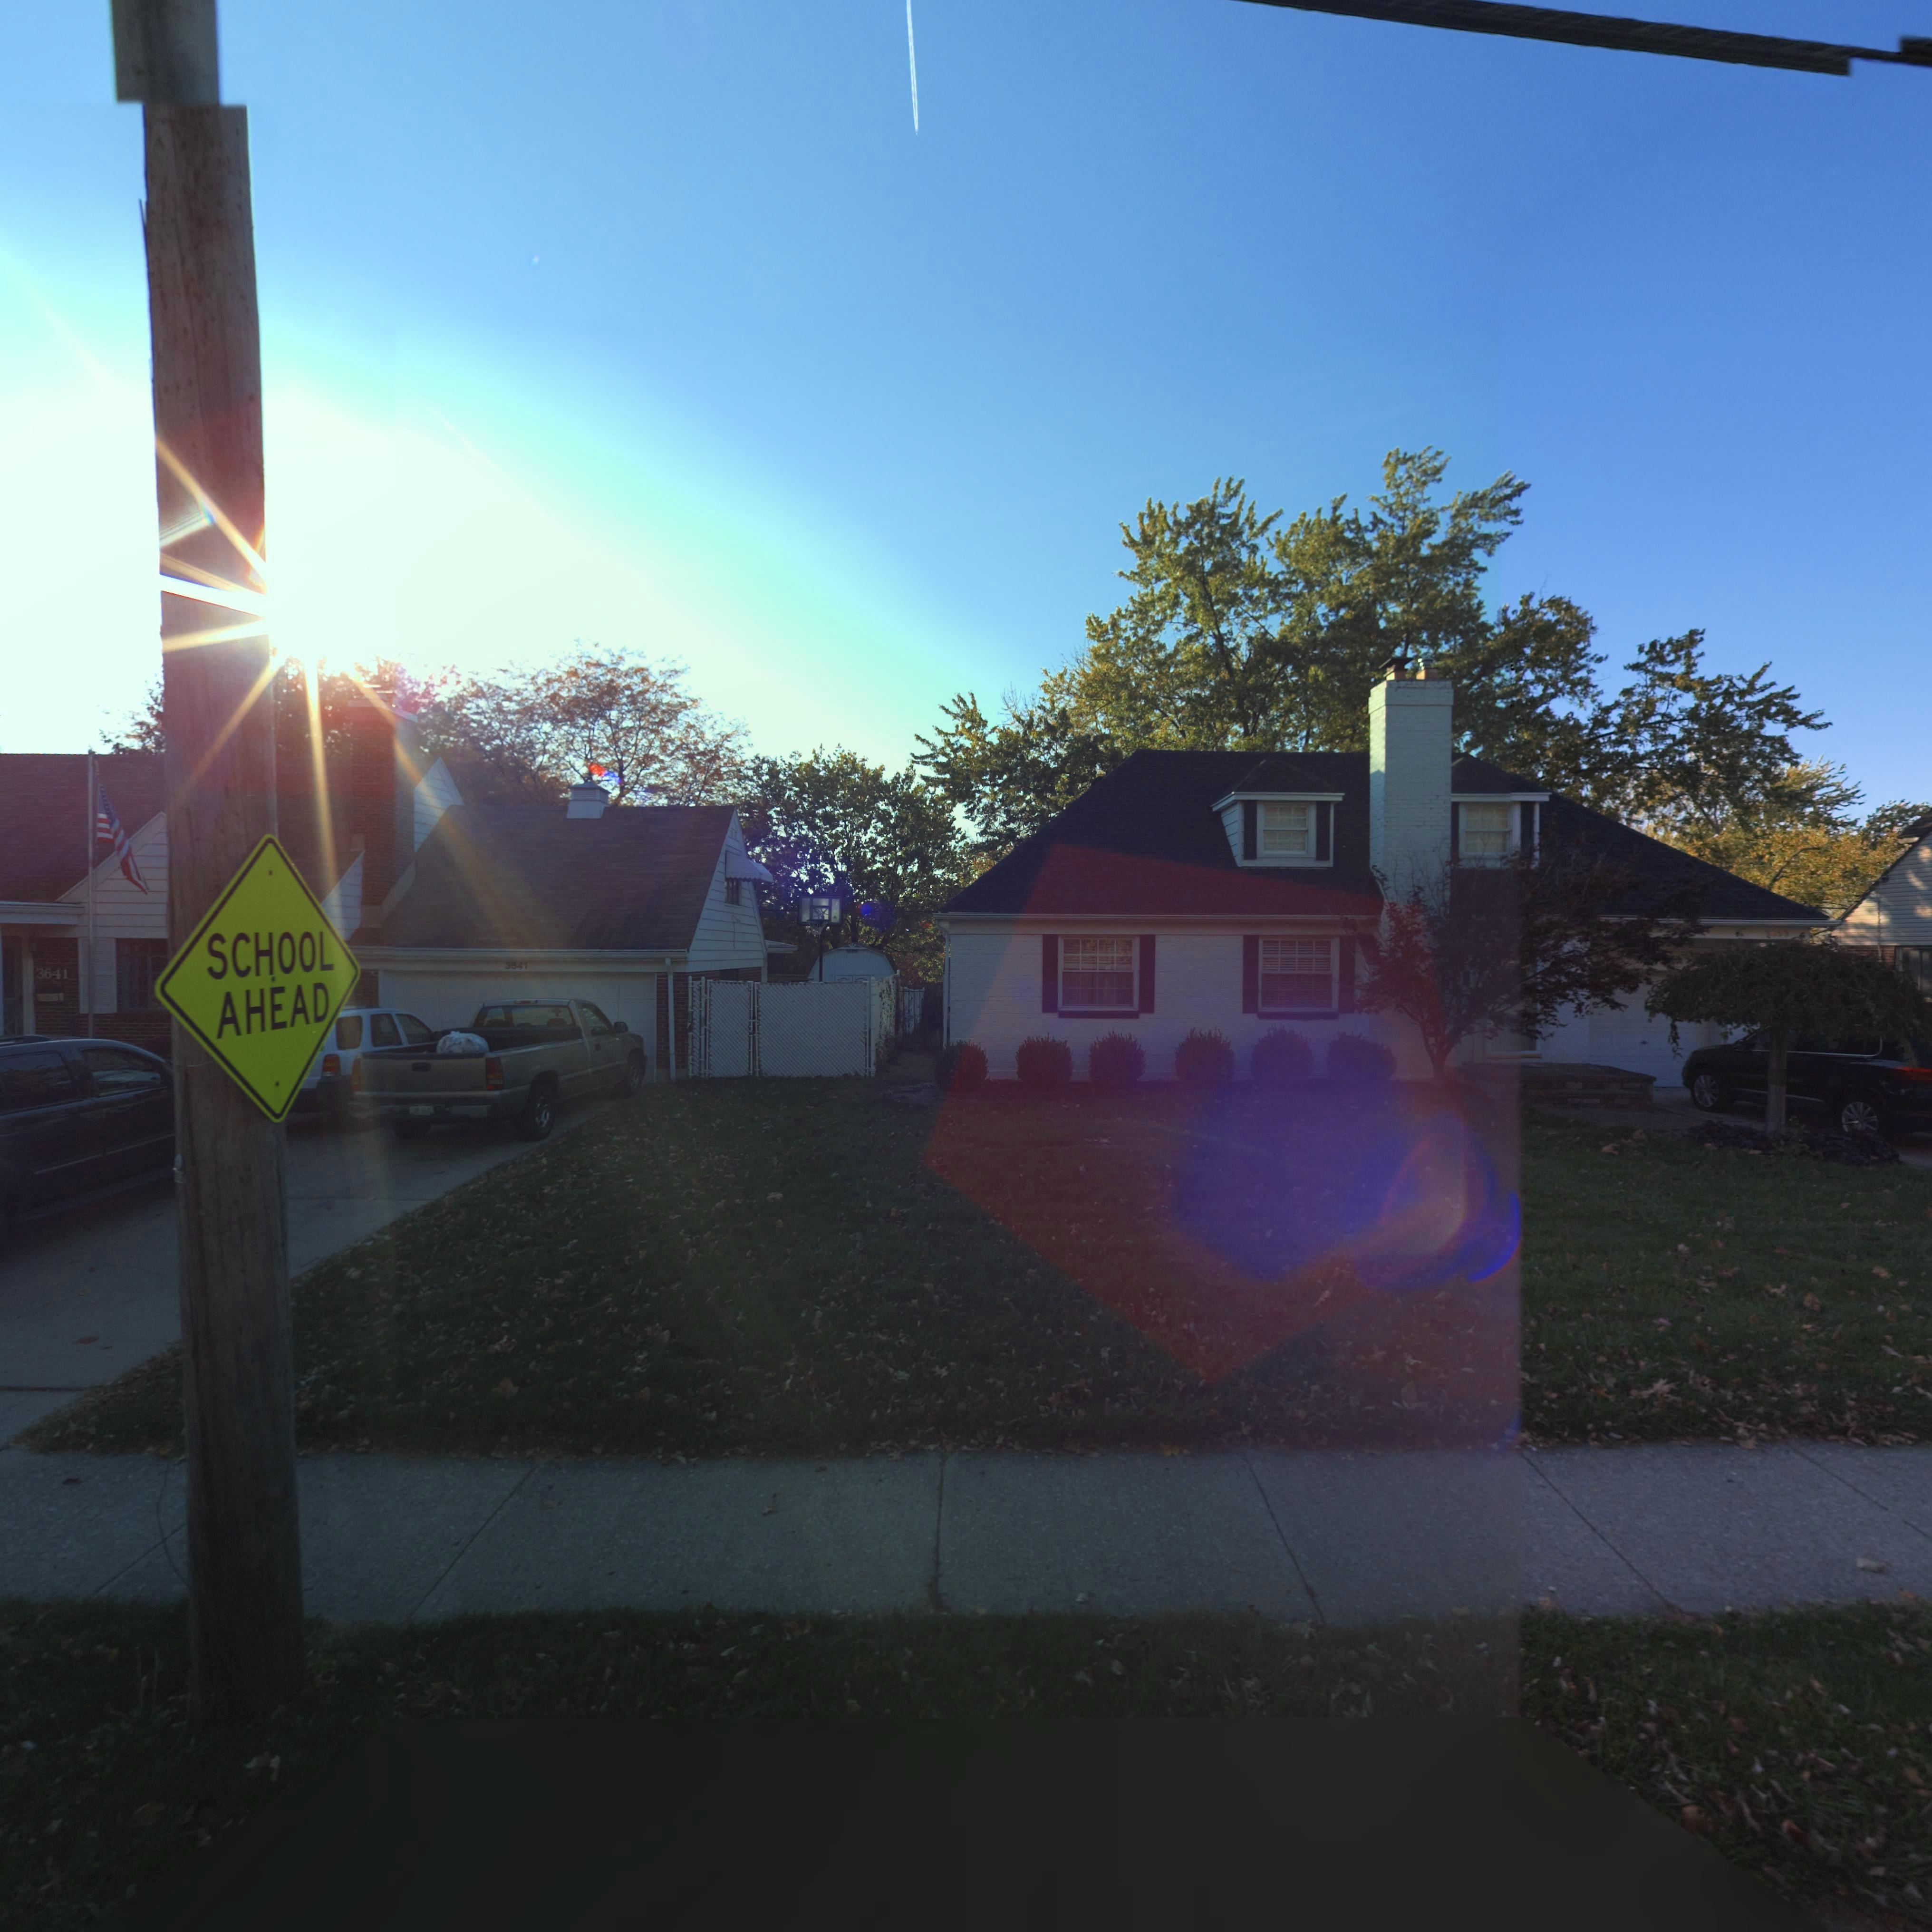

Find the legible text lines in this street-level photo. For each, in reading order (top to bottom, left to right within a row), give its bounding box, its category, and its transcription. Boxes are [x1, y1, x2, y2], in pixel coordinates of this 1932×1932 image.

[504, 960, 528, 969] StreetNumber: 3641